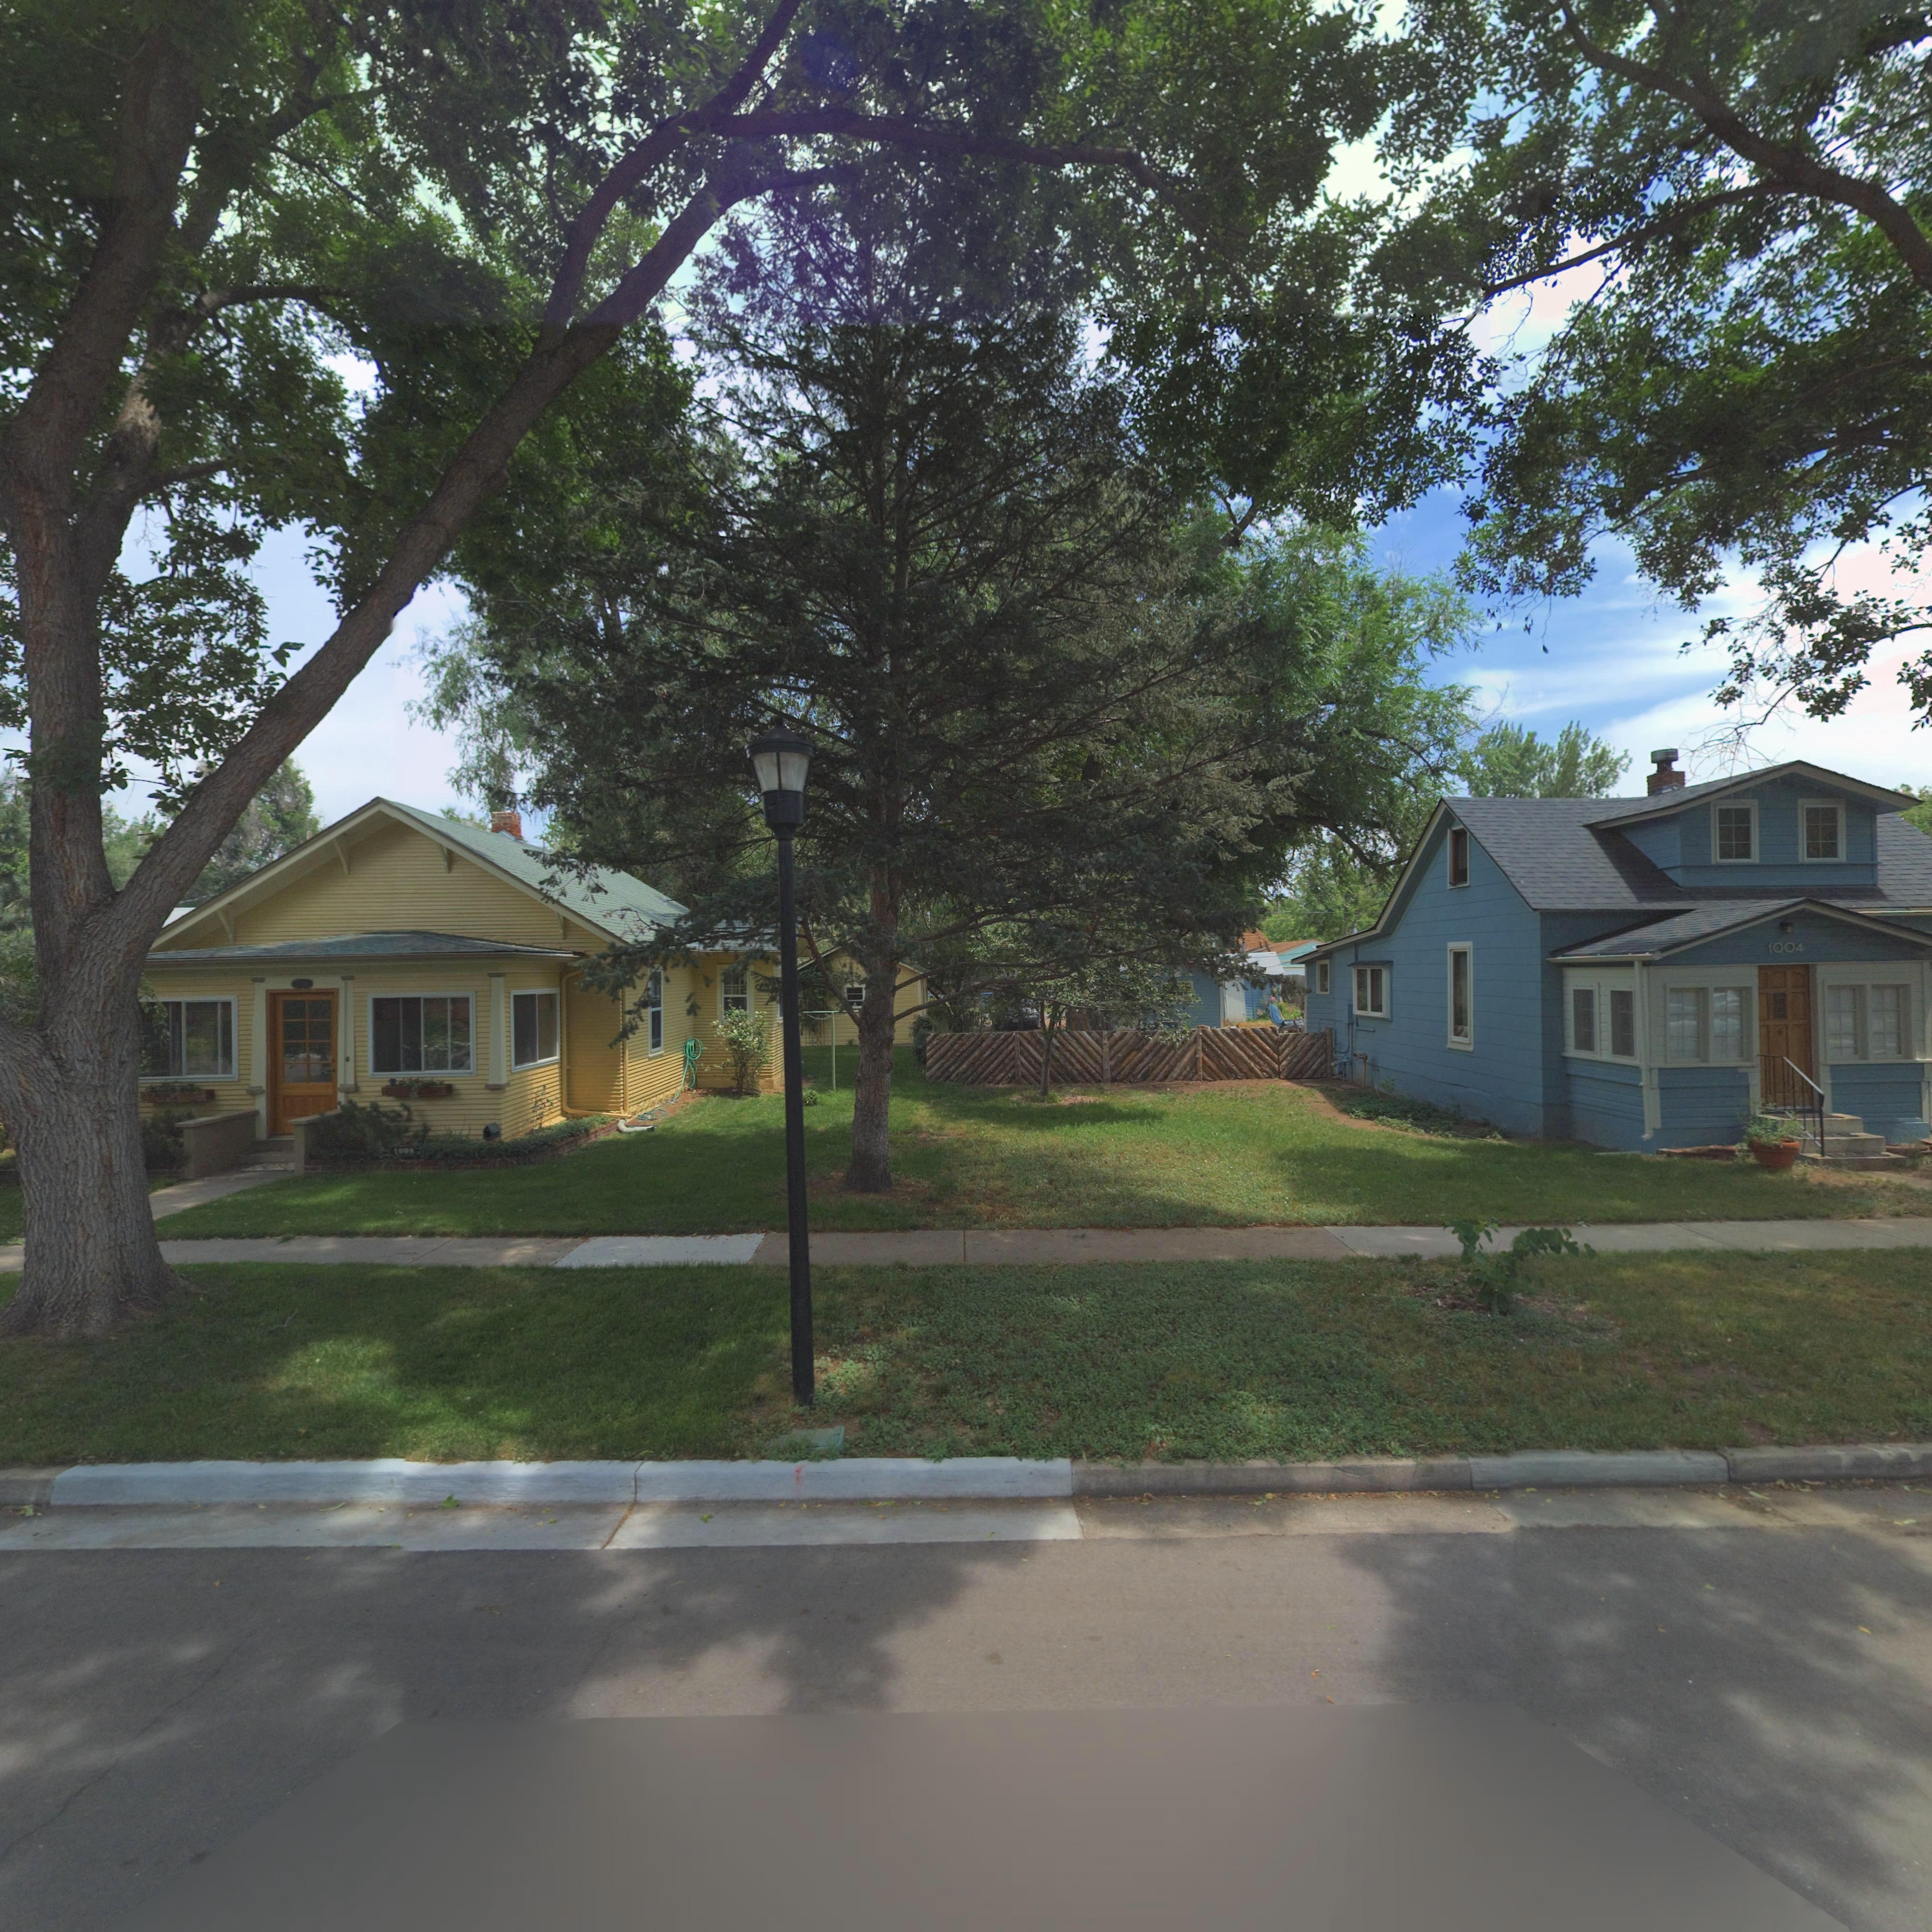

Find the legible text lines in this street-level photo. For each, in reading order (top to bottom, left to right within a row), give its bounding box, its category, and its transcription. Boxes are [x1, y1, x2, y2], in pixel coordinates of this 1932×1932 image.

[1767, 940, 1805, 955] StreetNumber: 1004
[393, 1147, 415, 1154] StreetNumber: 1008